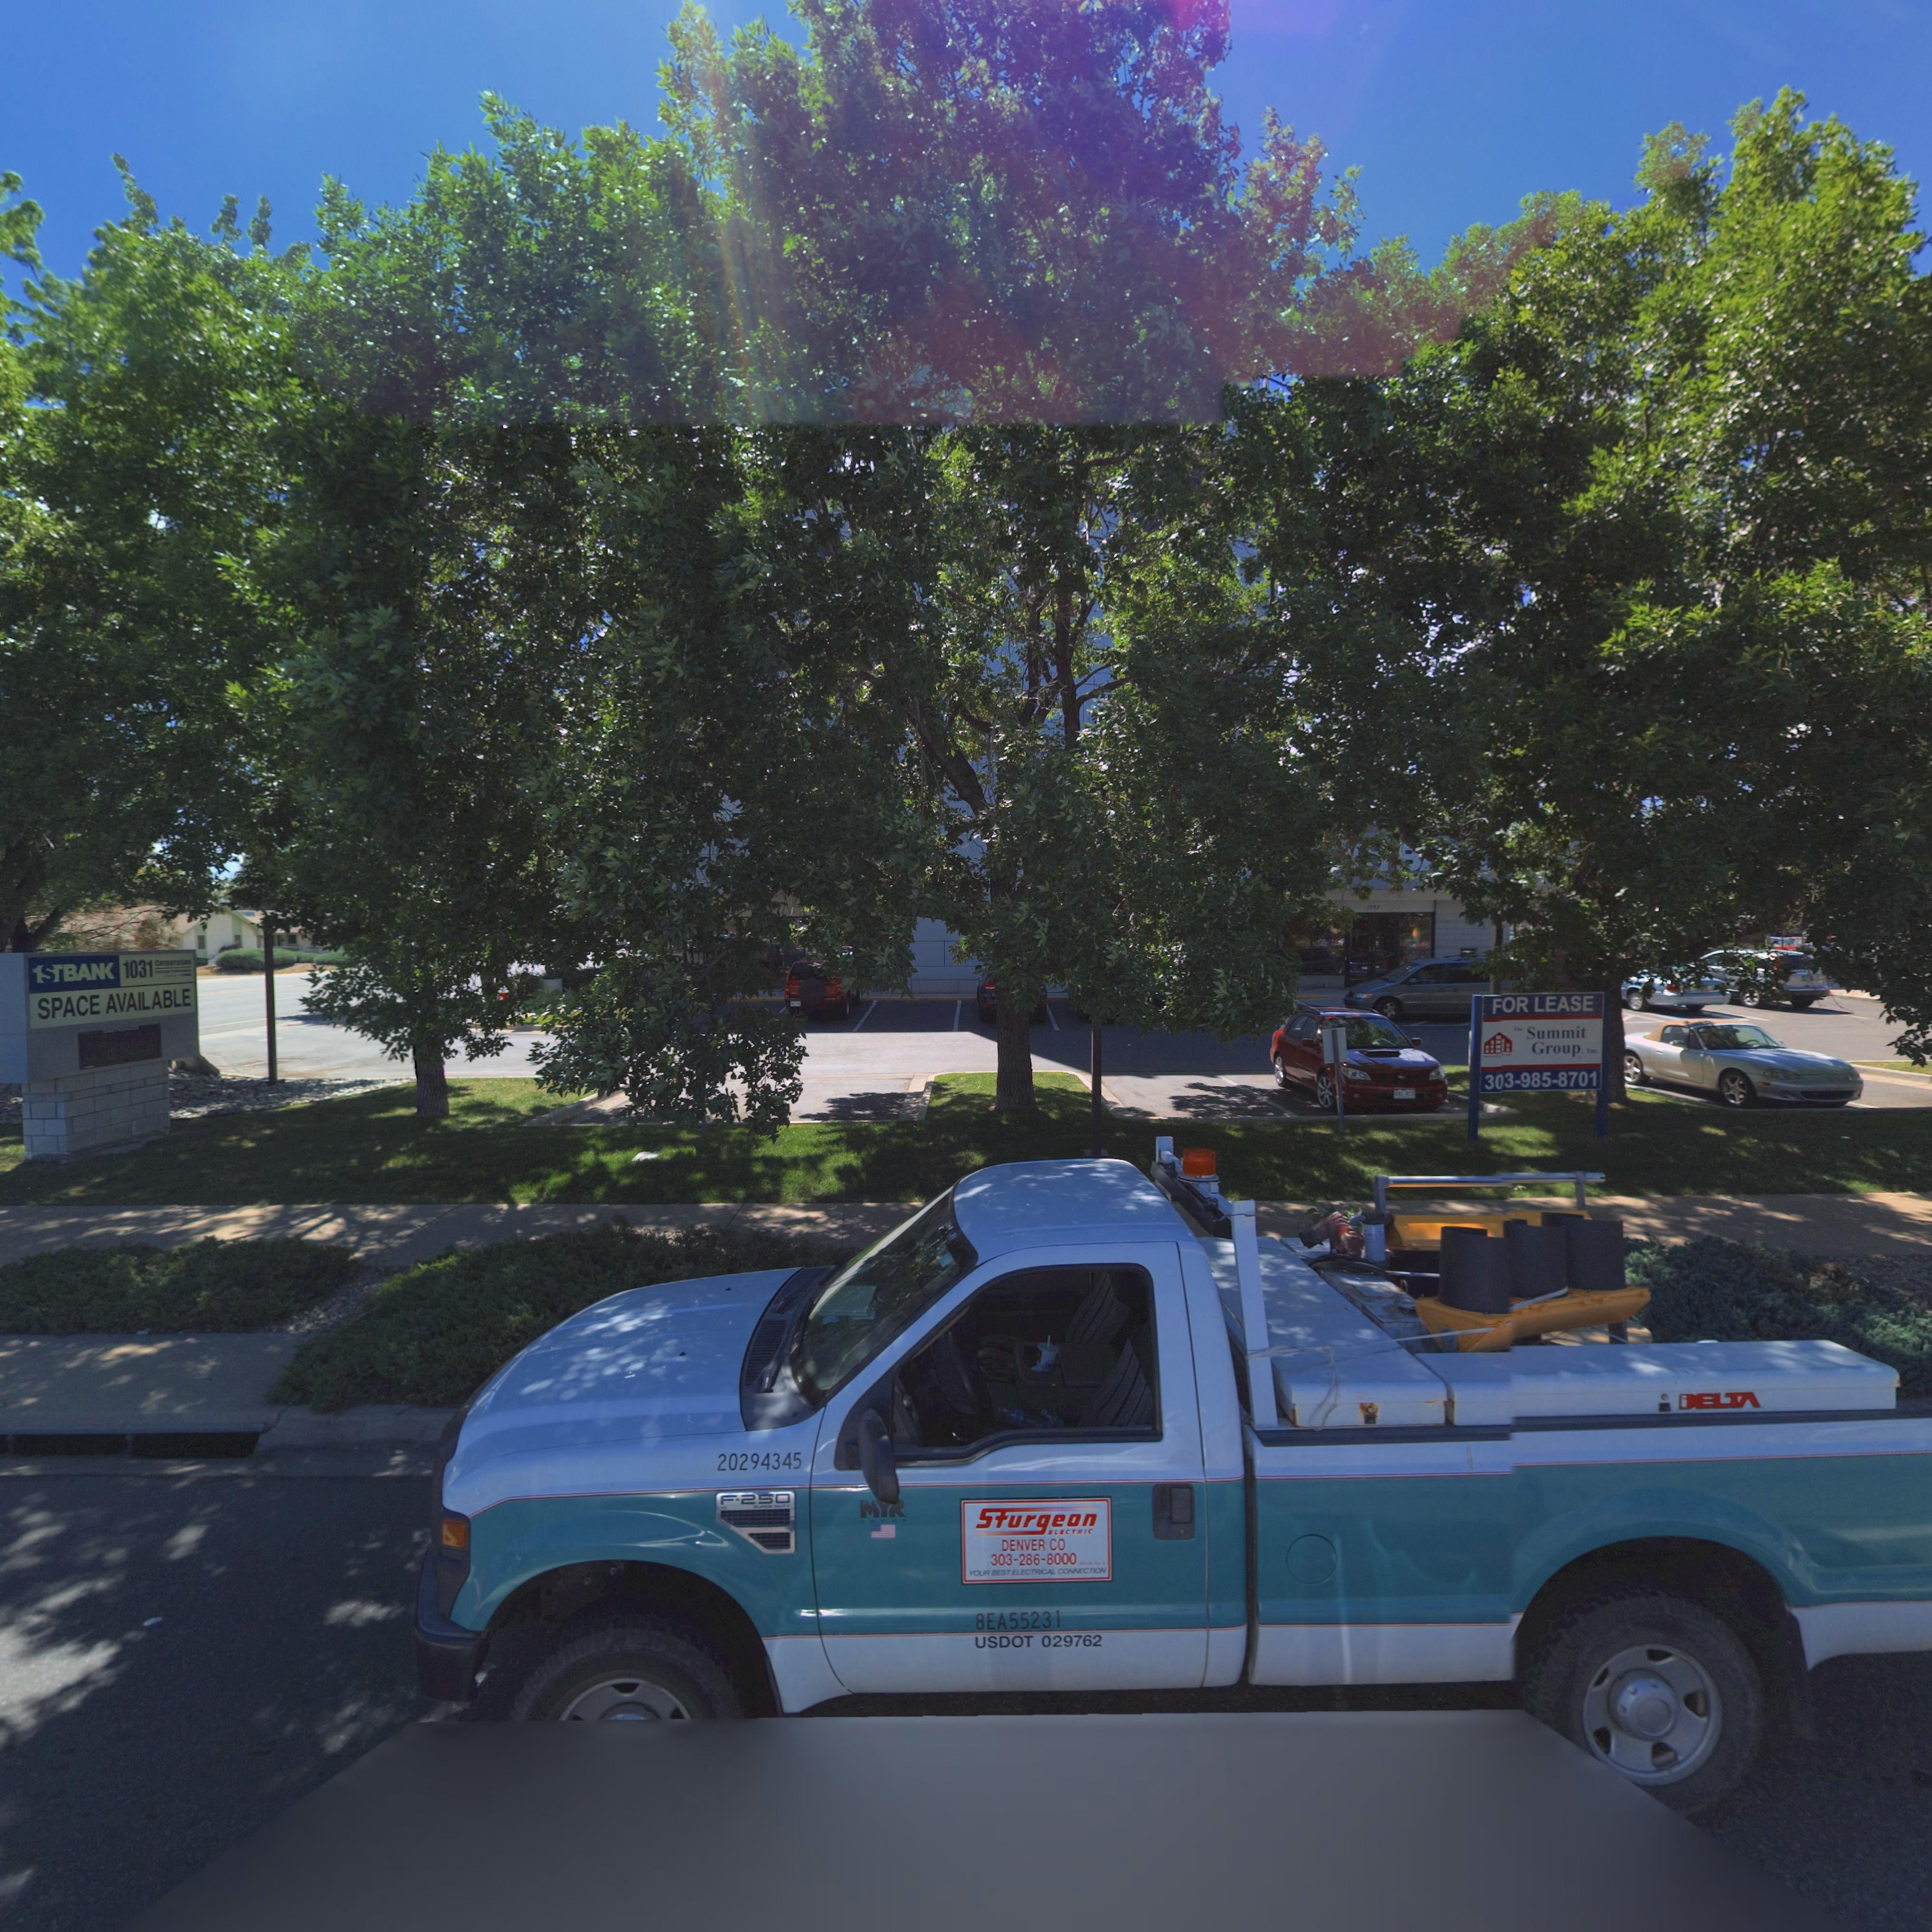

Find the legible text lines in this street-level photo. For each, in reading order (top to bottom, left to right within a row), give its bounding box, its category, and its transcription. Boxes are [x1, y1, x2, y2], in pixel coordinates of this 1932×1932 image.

[1364, 904, 1381, 910] StreetNumber: 1307
[31, 961, 116, 984] BusinessName: 1STBAN*
[123, 958, 154, 979] BusinessName: 1031
[154, 958, 192, 966] BusinessName:  Corporation